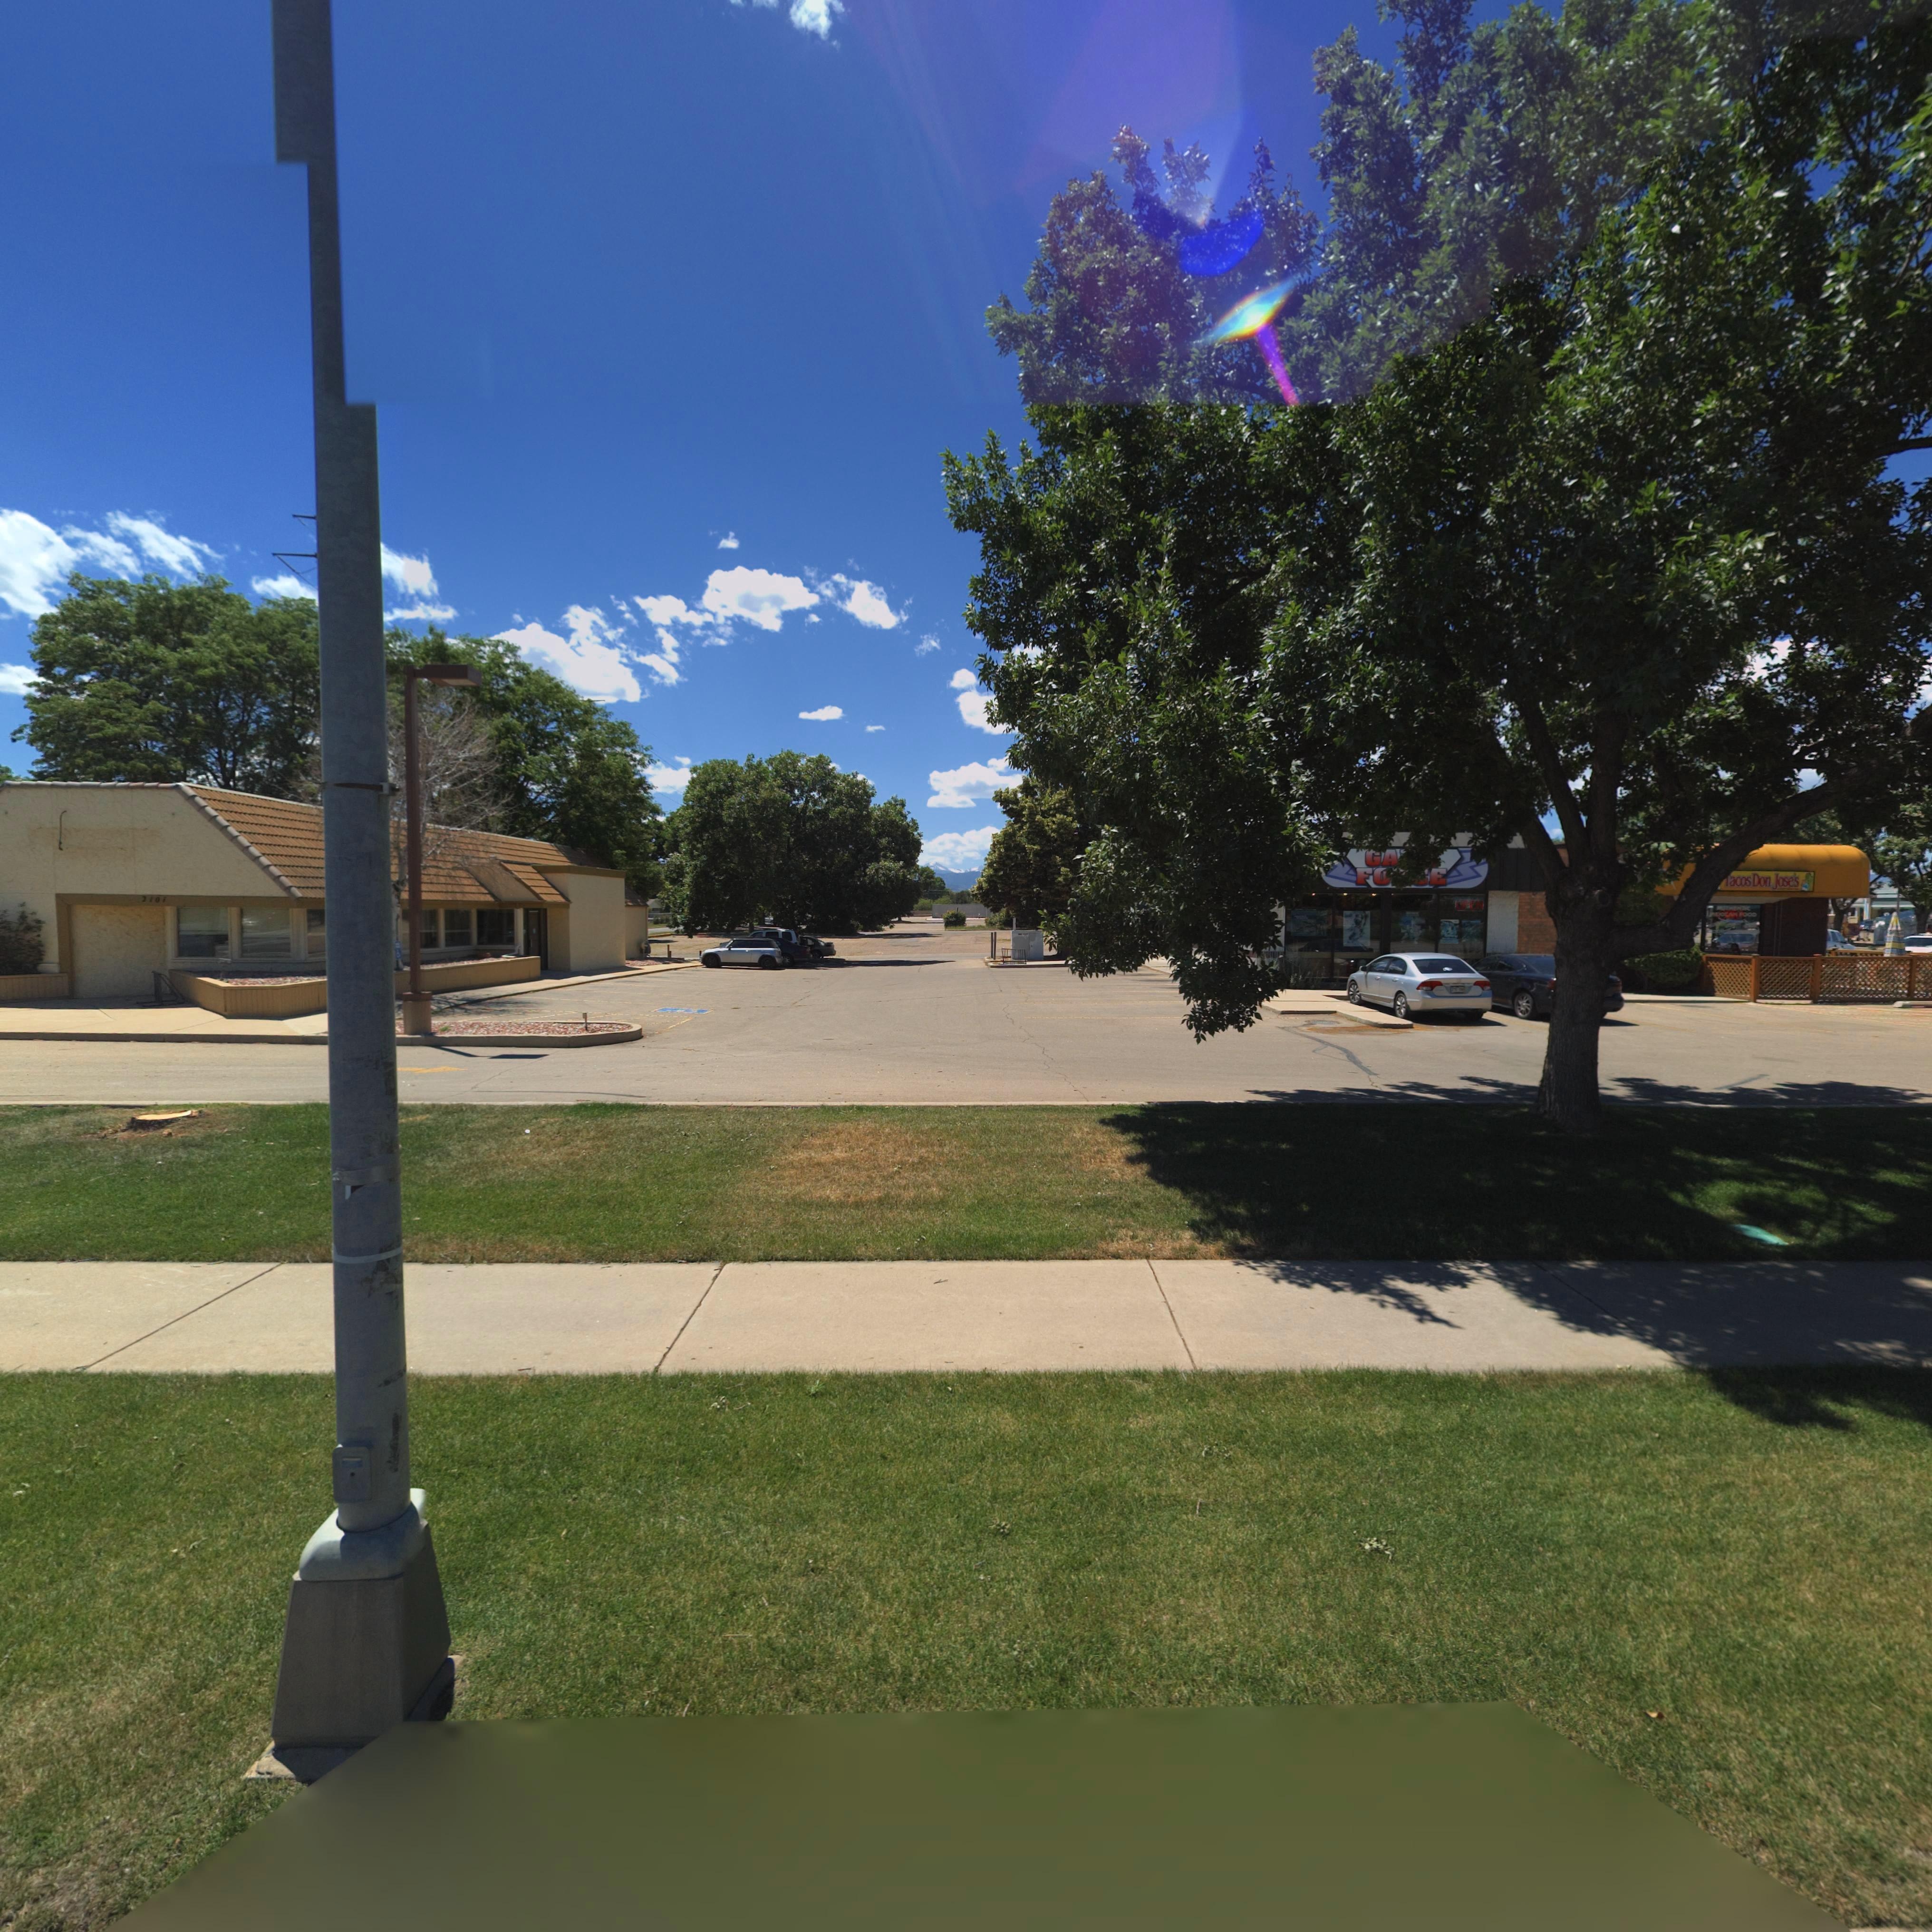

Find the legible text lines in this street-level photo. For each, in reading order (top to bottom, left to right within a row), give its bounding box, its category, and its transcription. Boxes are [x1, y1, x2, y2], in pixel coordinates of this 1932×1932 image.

[1364, 849, 1401, 869] BusinessName: GA
[1354, 866, 1447, 888] BusinessName: F***E
[1725, 872, 1800, 890] BusinessName: *acos Don Jose's
[141, 895, 167, 903] StreetNumber: 2101